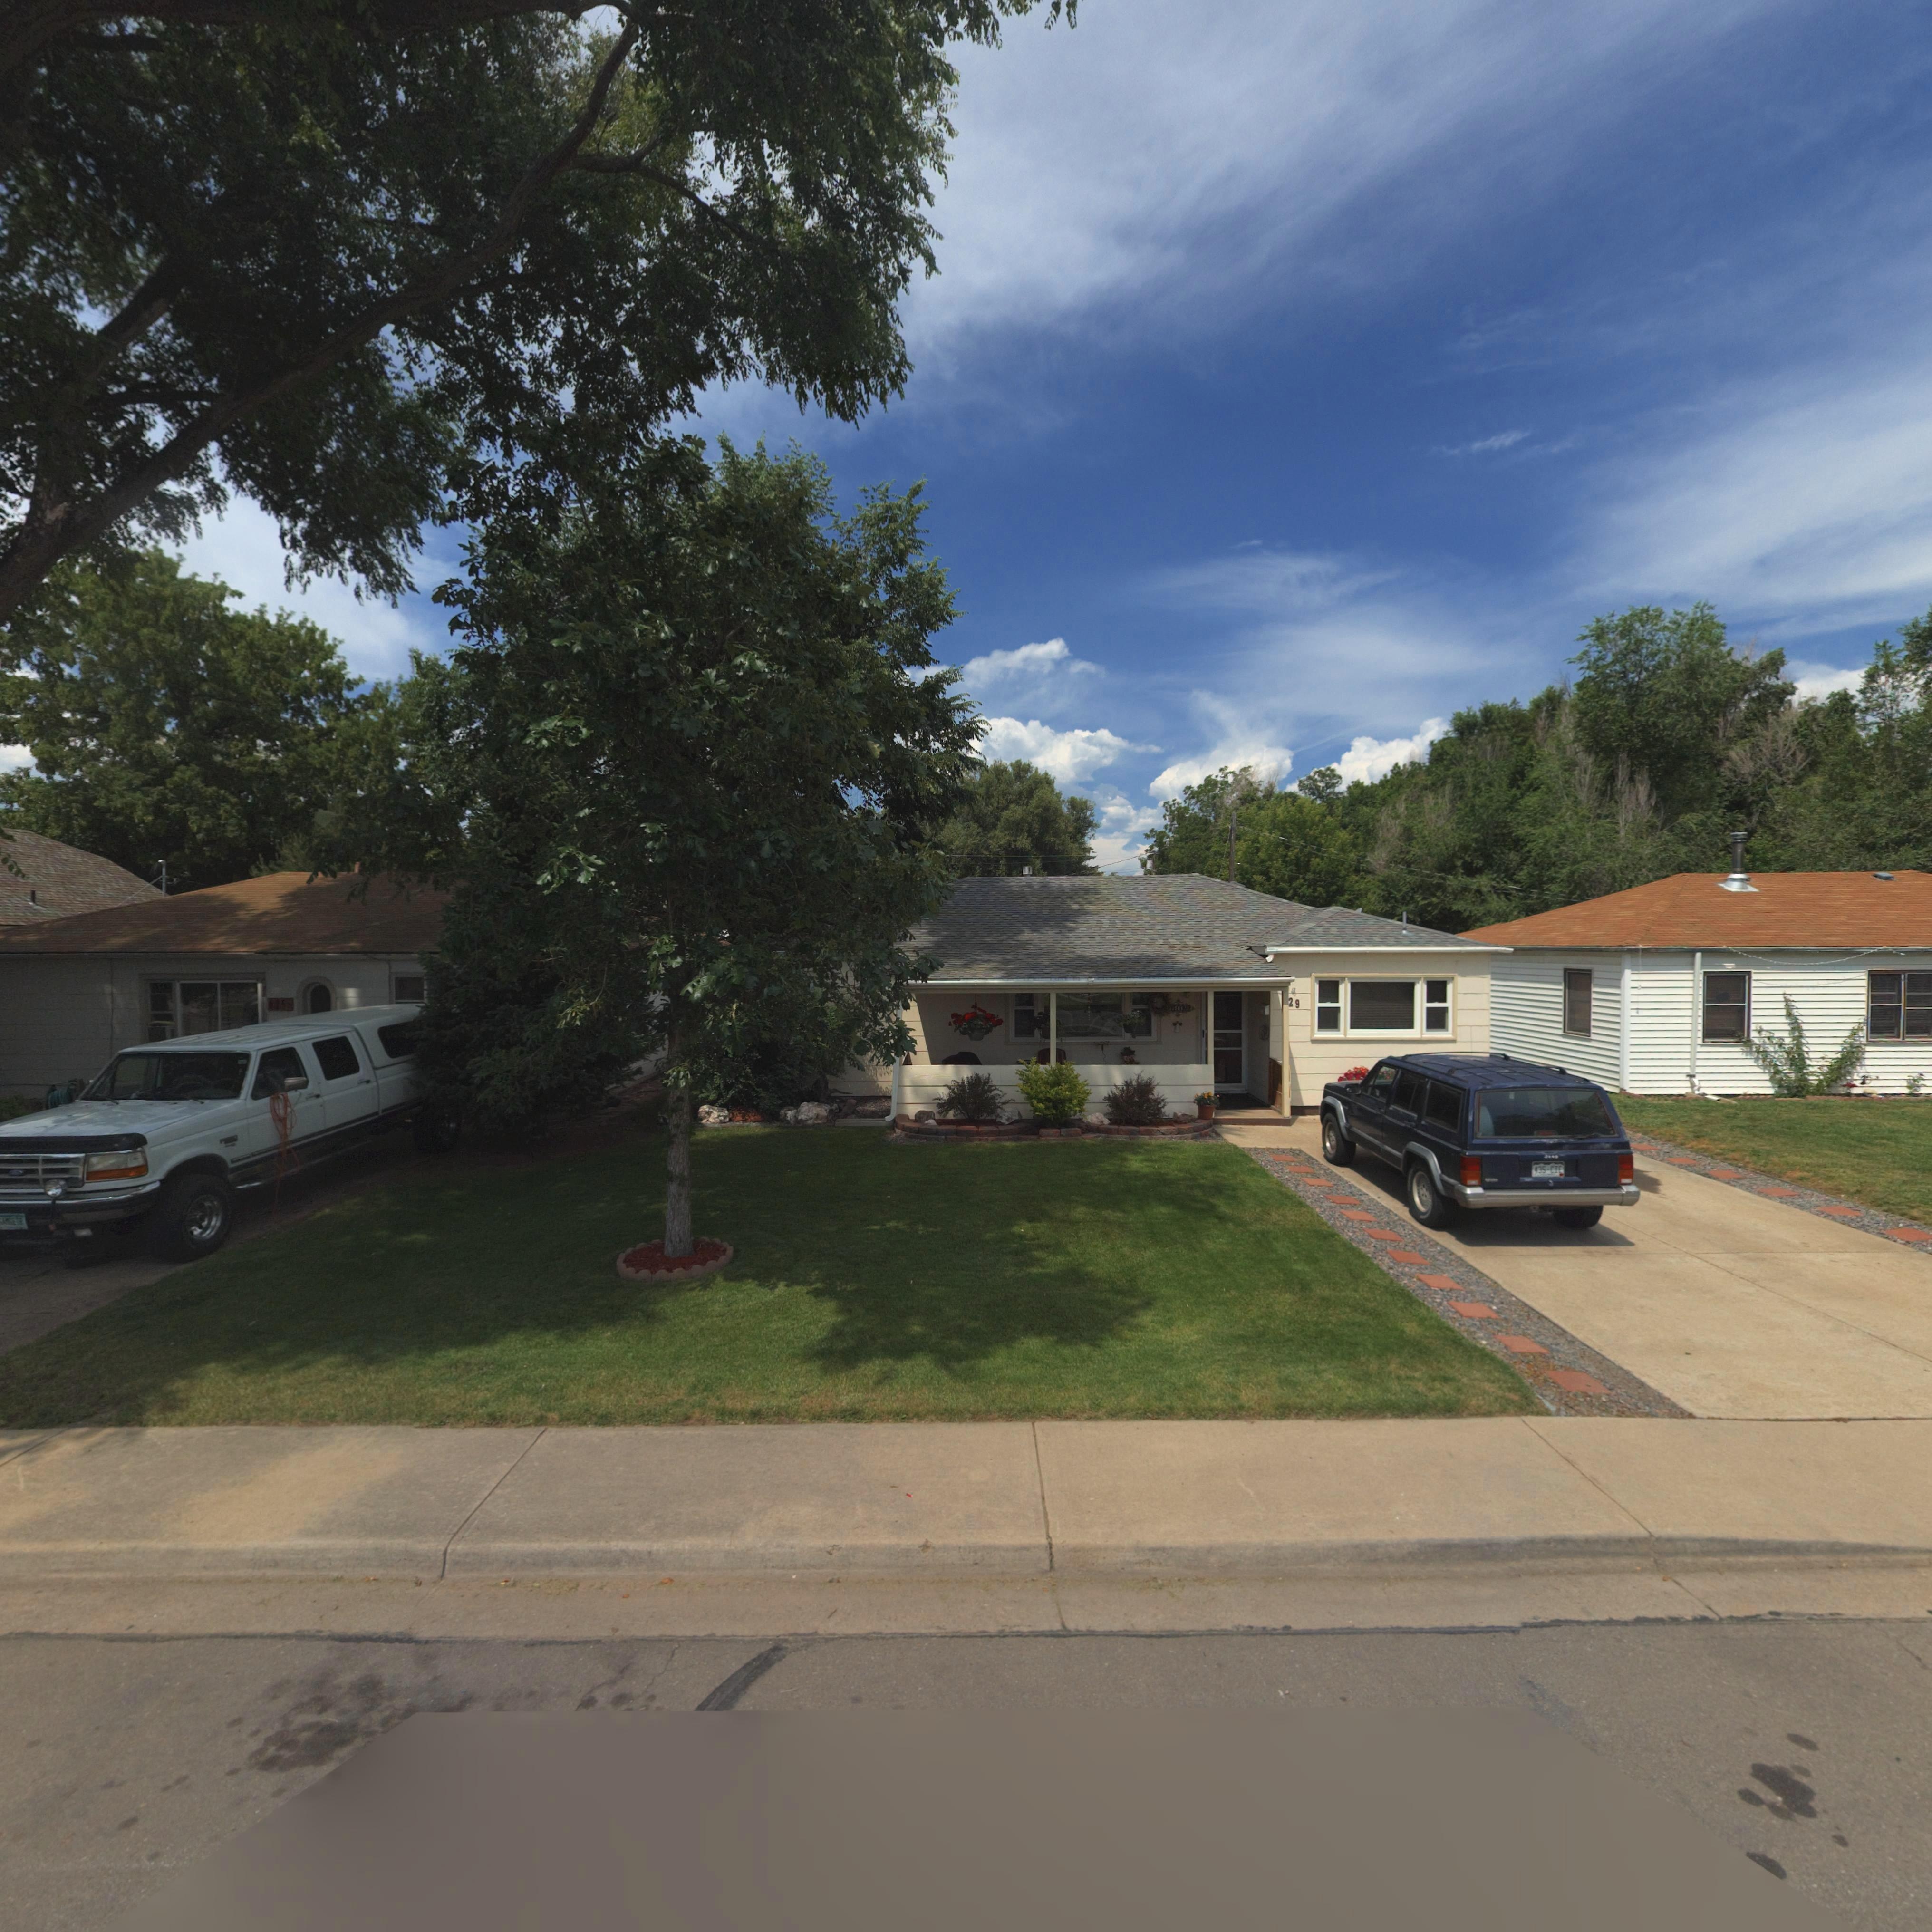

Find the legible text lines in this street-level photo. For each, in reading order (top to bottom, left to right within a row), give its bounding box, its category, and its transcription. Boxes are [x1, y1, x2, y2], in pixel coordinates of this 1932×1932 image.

[268, 998, 287, 1011] StreetNumber: 6*5
[1288, 997, 1299, 1008] StreetNumber: 29